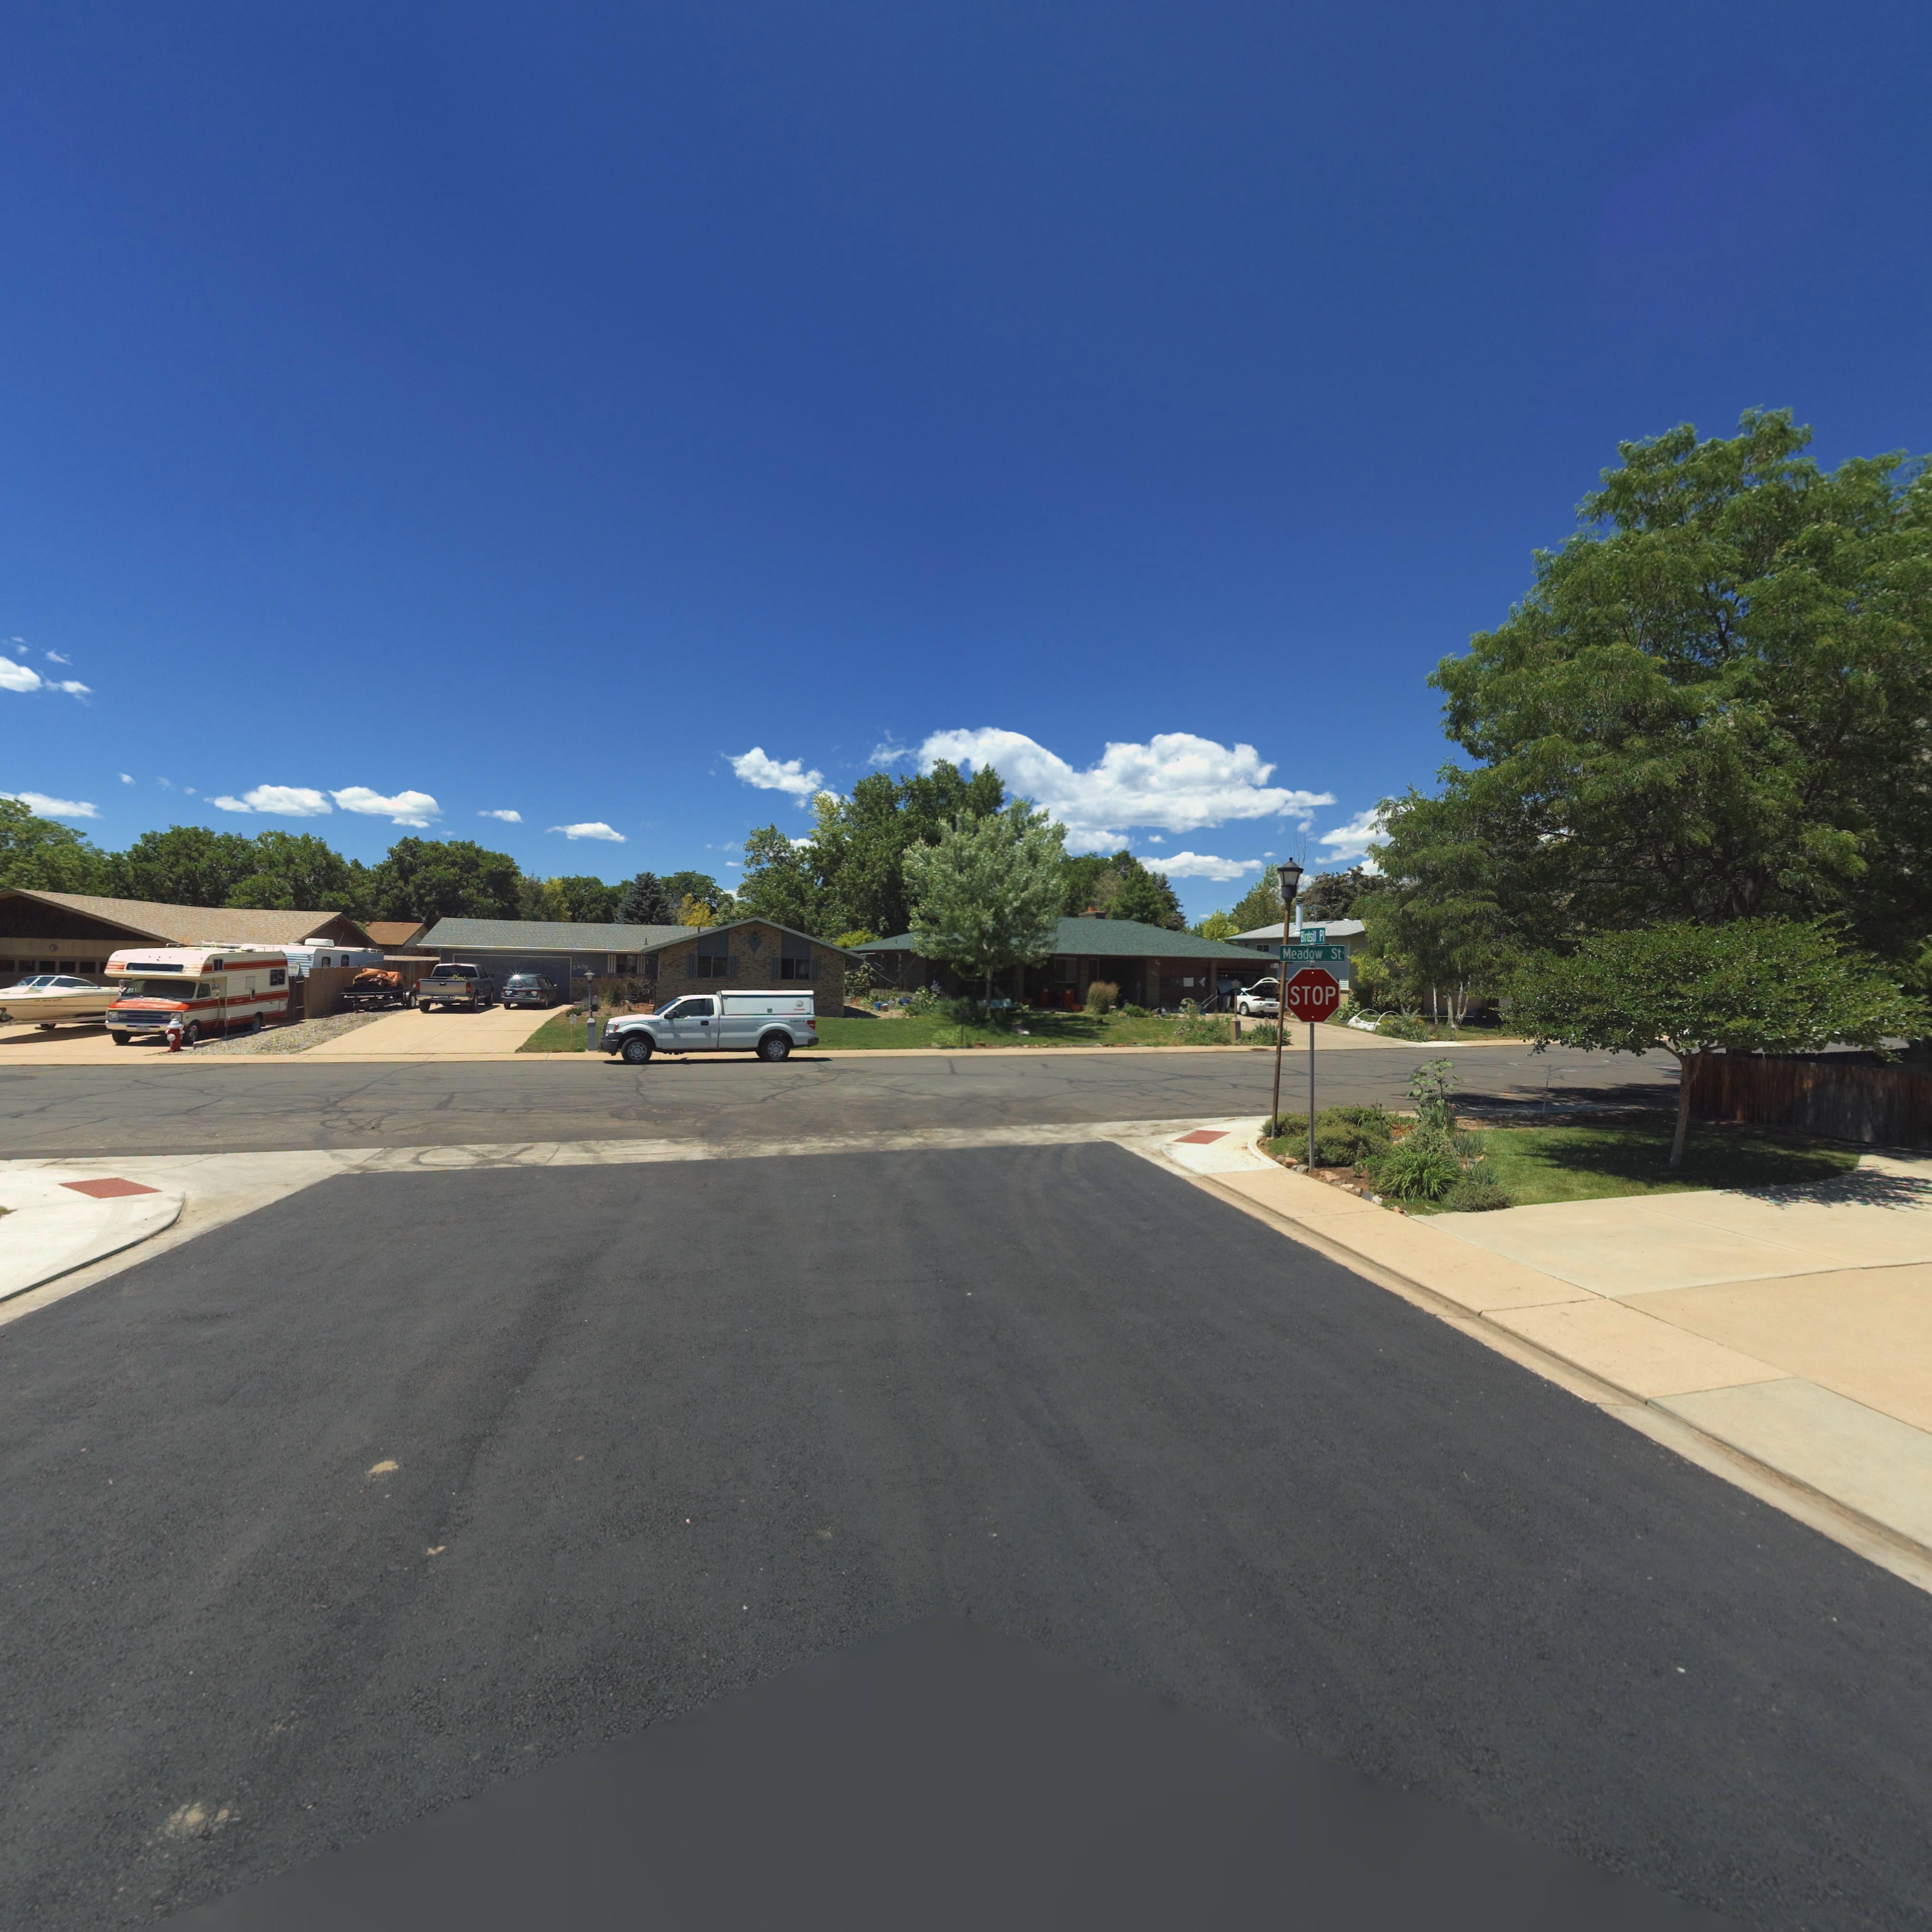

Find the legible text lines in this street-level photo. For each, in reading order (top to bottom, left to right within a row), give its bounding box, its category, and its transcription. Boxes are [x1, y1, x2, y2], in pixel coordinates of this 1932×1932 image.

[1300, 929, 1324, 942] StreetName: Bidsill Pl
[1282, 947, 1341, 959] StreetName: Meadow St
[572, 964, 589, 970] StreetNumber: 2403